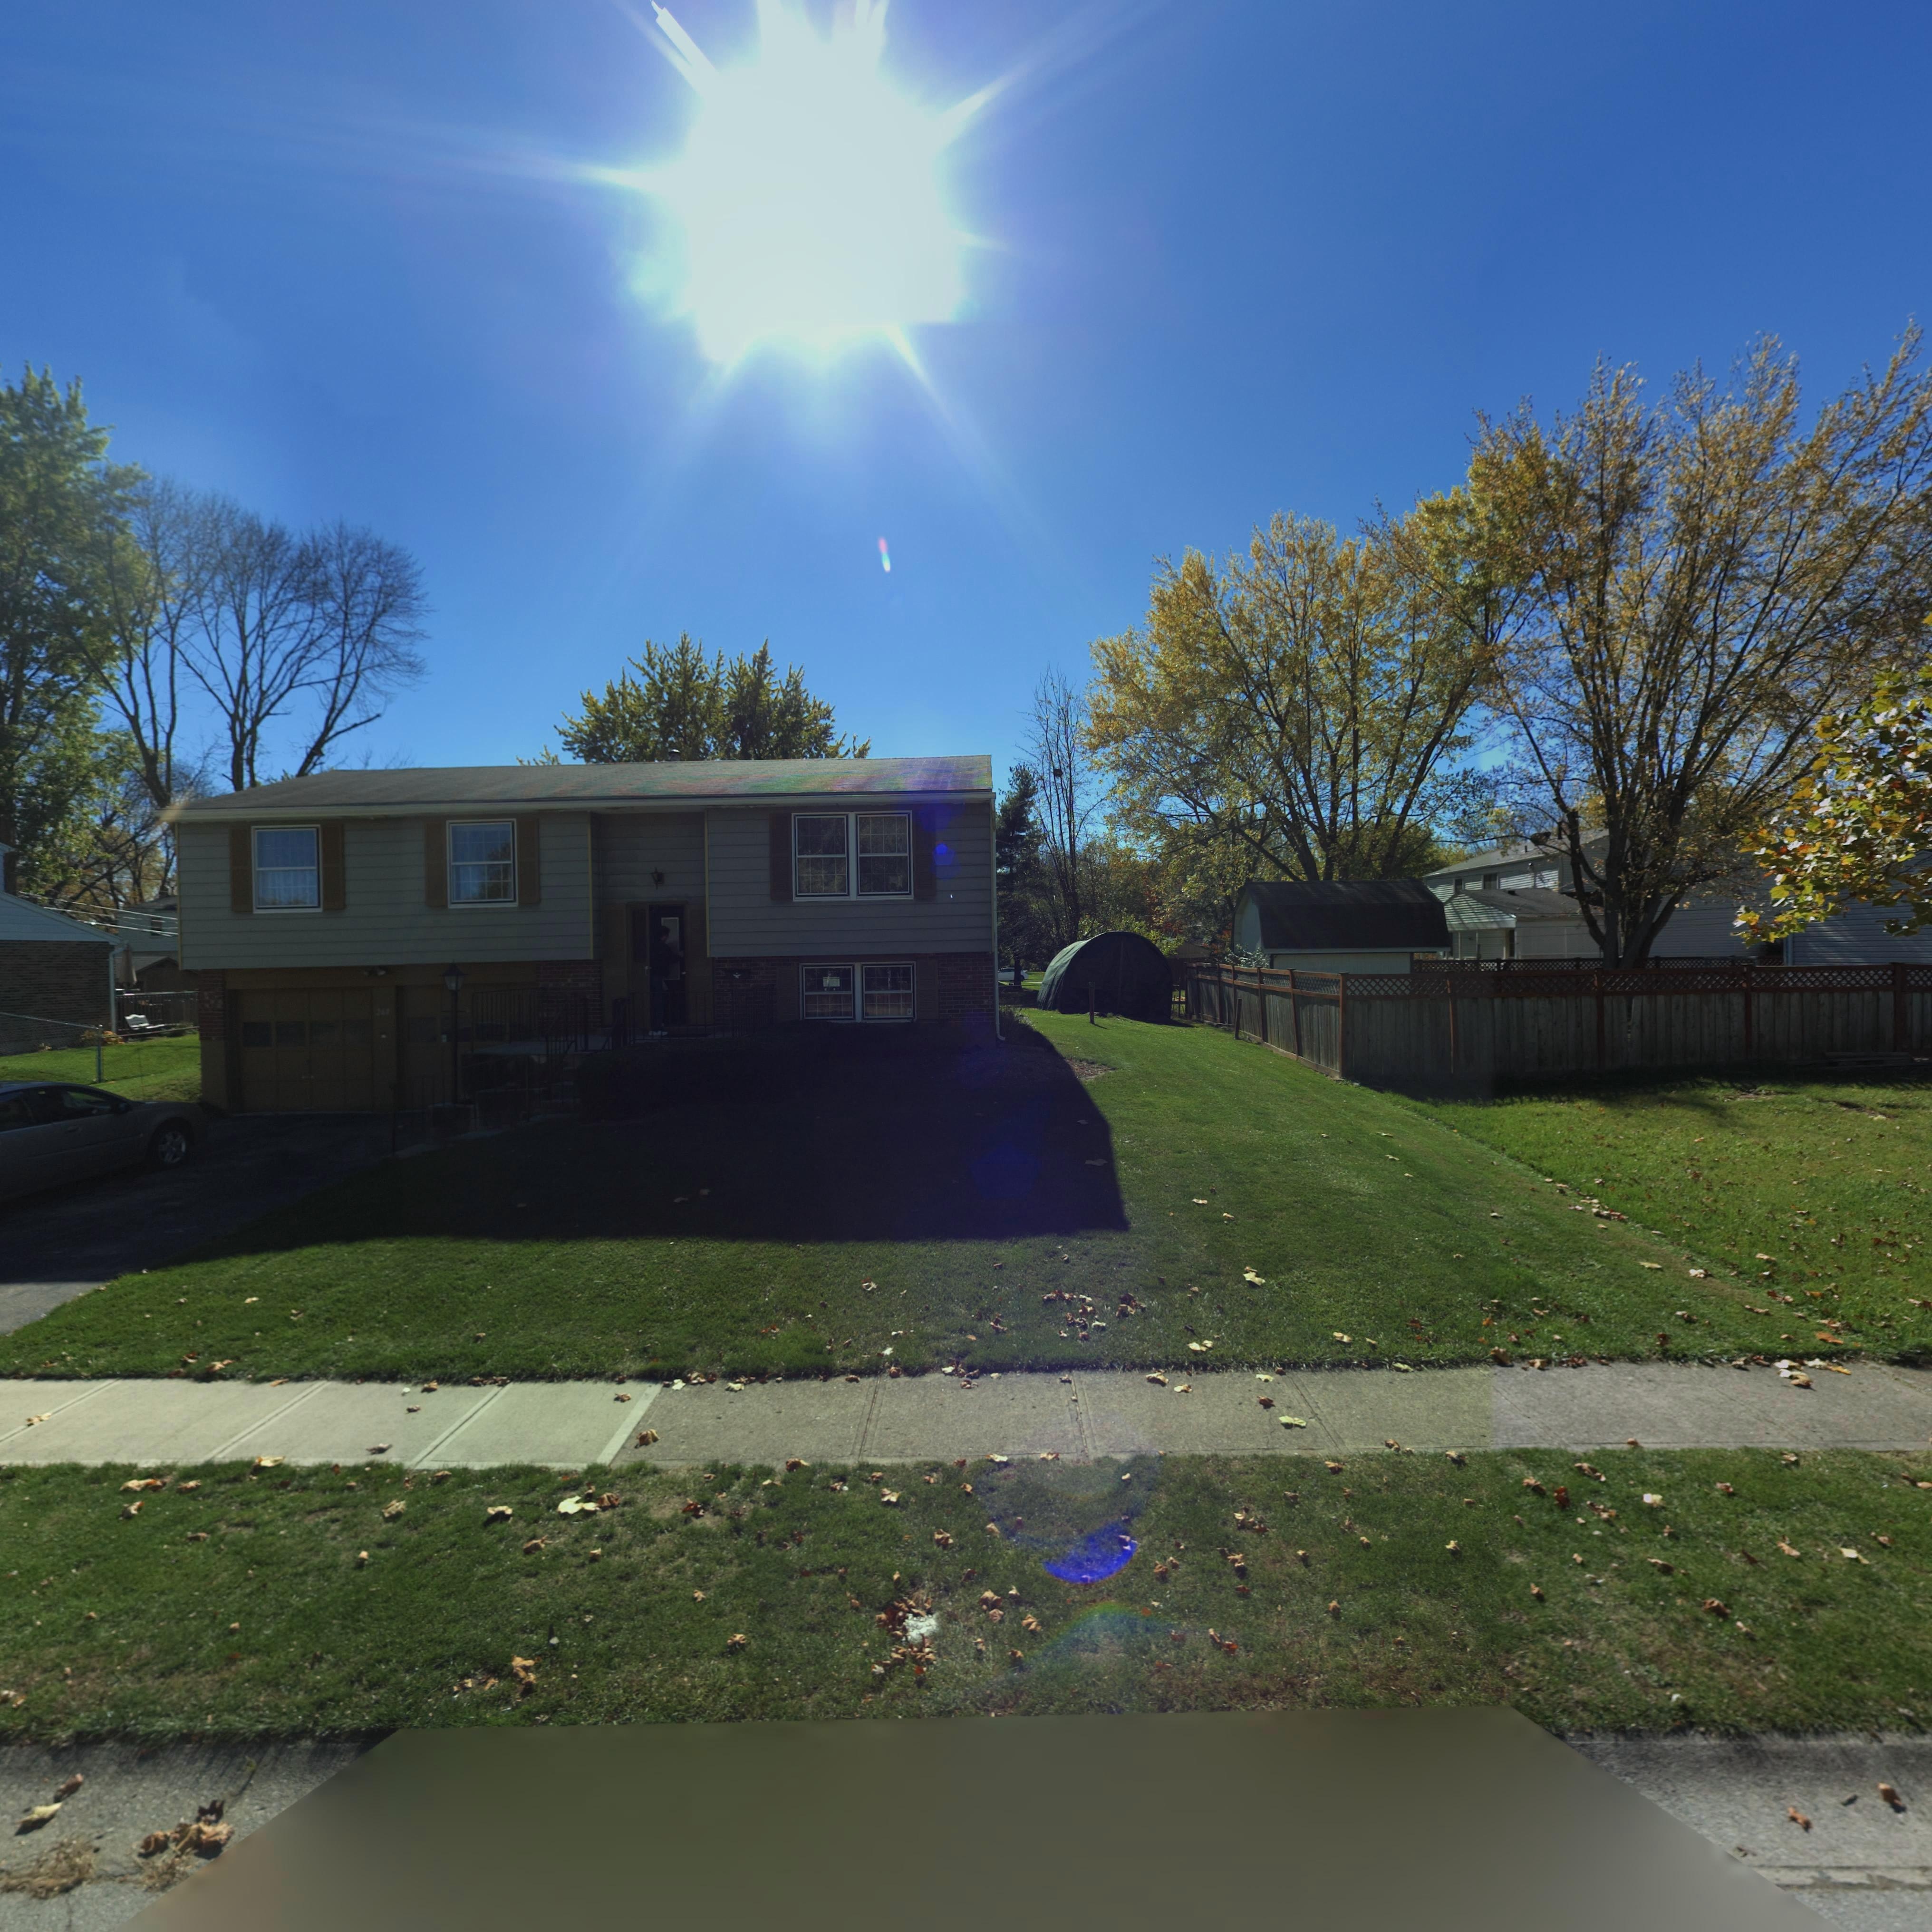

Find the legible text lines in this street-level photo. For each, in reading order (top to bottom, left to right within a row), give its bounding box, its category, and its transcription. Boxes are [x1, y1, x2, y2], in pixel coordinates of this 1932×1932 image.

[374, 1007, 391, 1016] StreetNumber: 2**